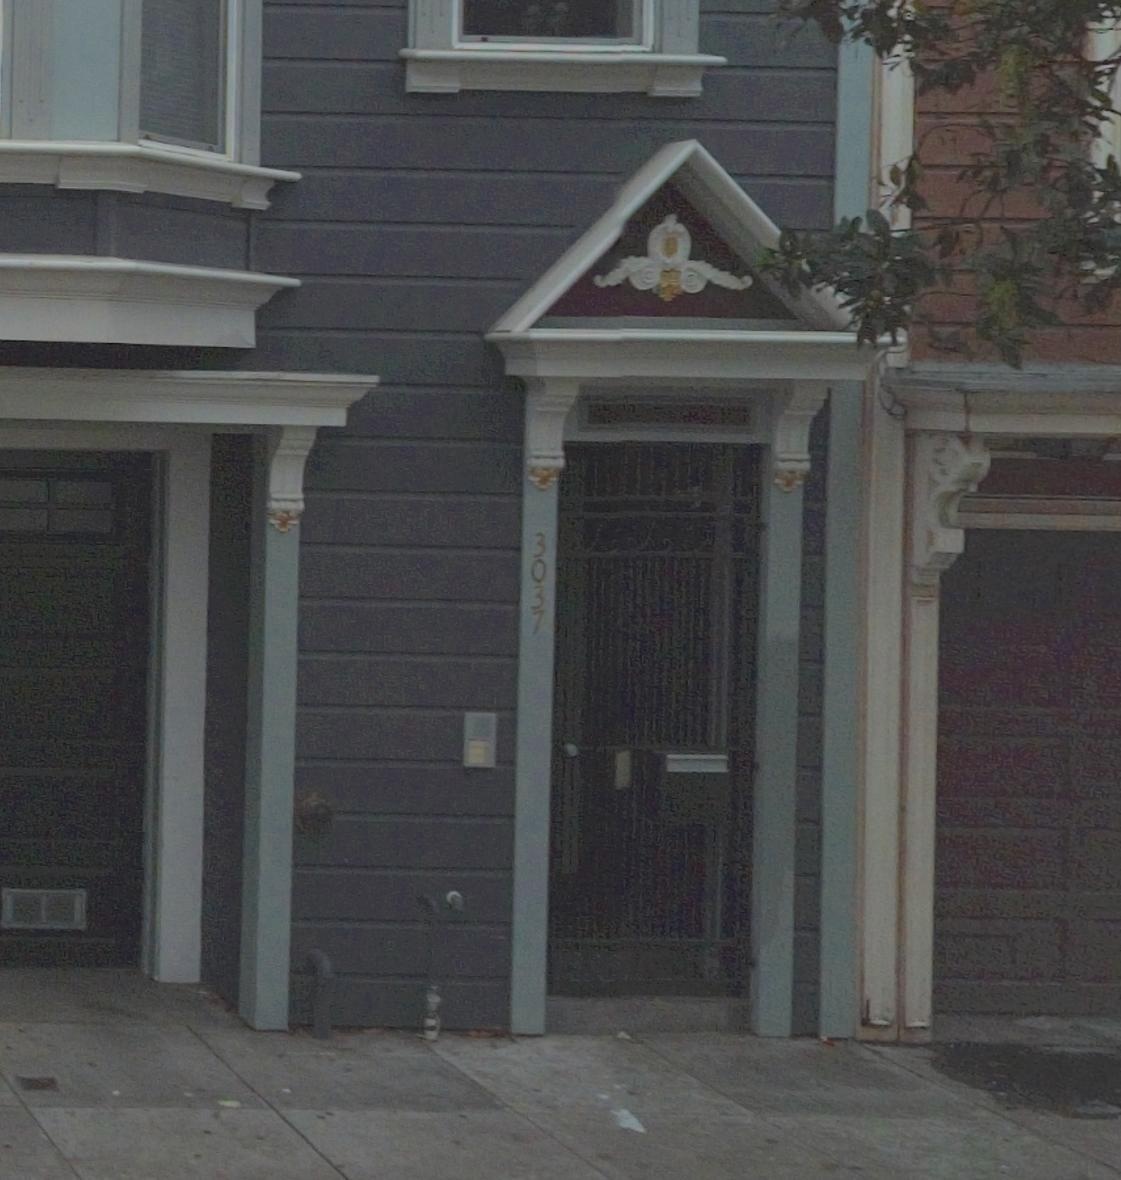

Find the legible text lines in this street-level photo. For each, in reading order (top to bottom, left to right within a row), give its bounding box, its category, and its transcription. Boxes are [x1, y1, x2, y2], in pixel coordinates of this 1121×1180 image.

[526, 529, 548, 637] StreetNumber: 3037